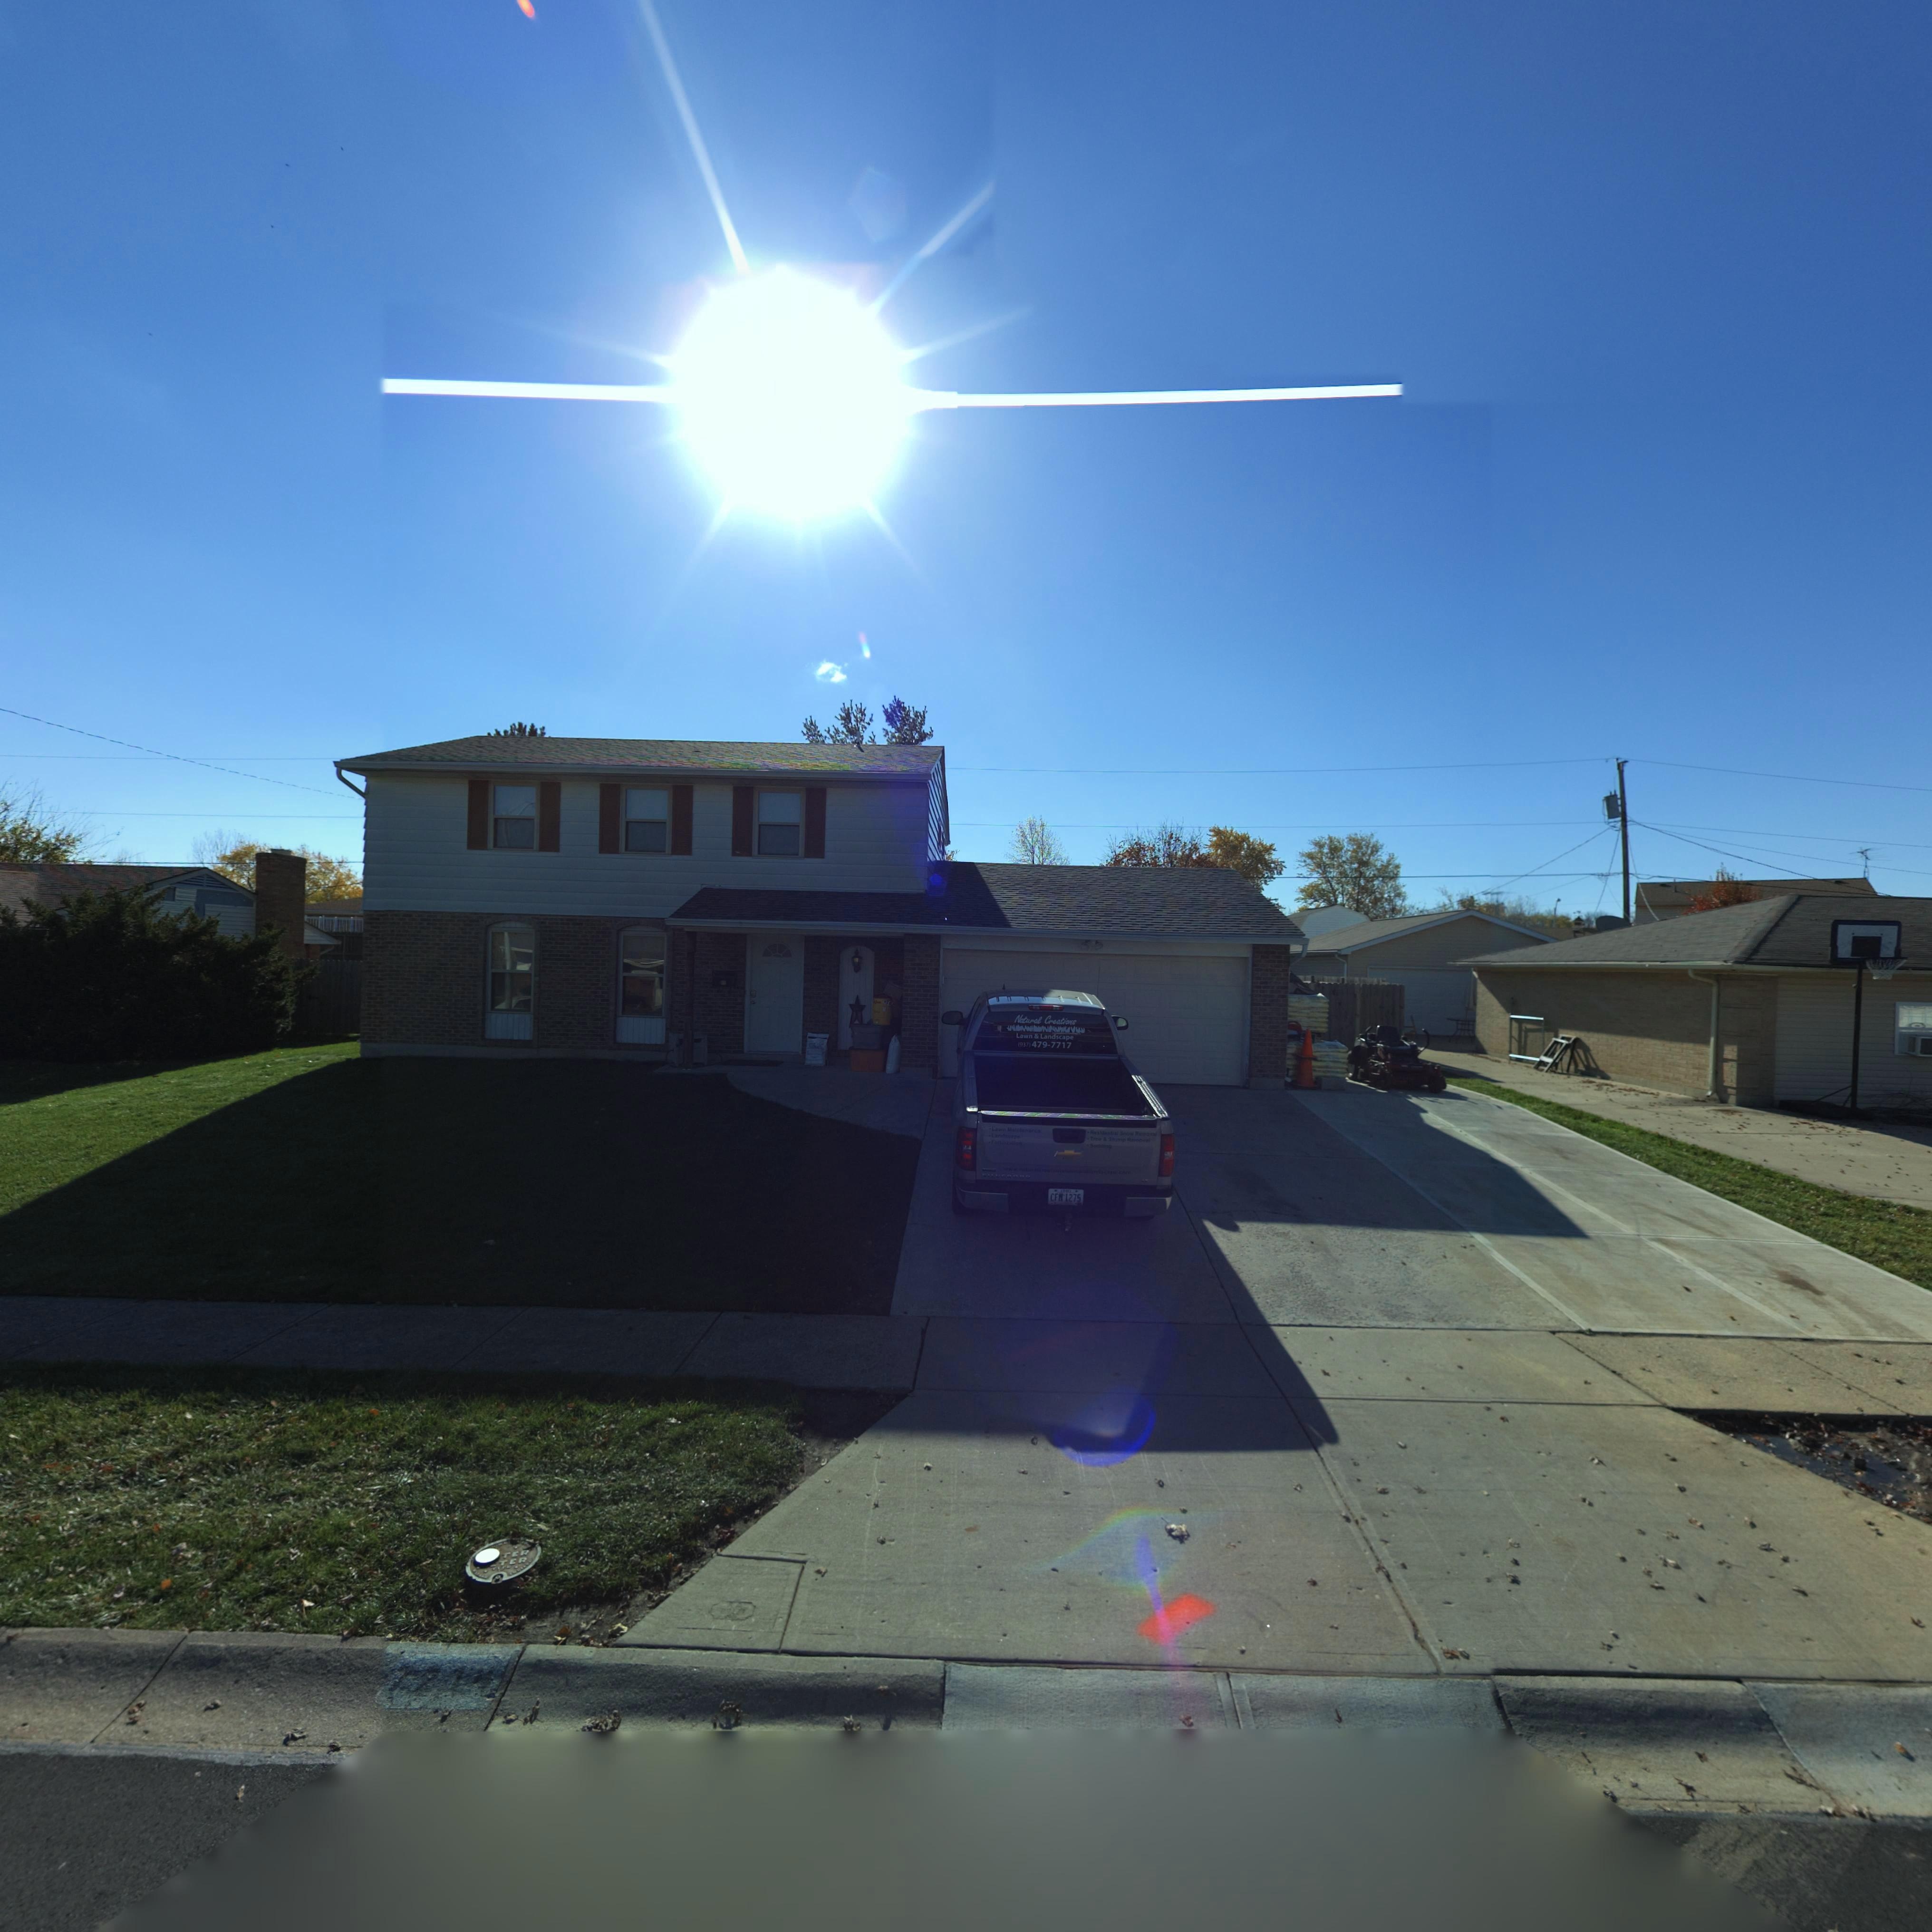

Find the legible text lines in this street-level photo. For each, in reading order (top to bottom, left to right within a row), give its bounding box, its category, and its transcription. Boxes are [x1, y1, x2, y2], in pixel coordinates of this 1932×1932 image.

[386, 1664, 499, 1699] StreetNumber: 7214